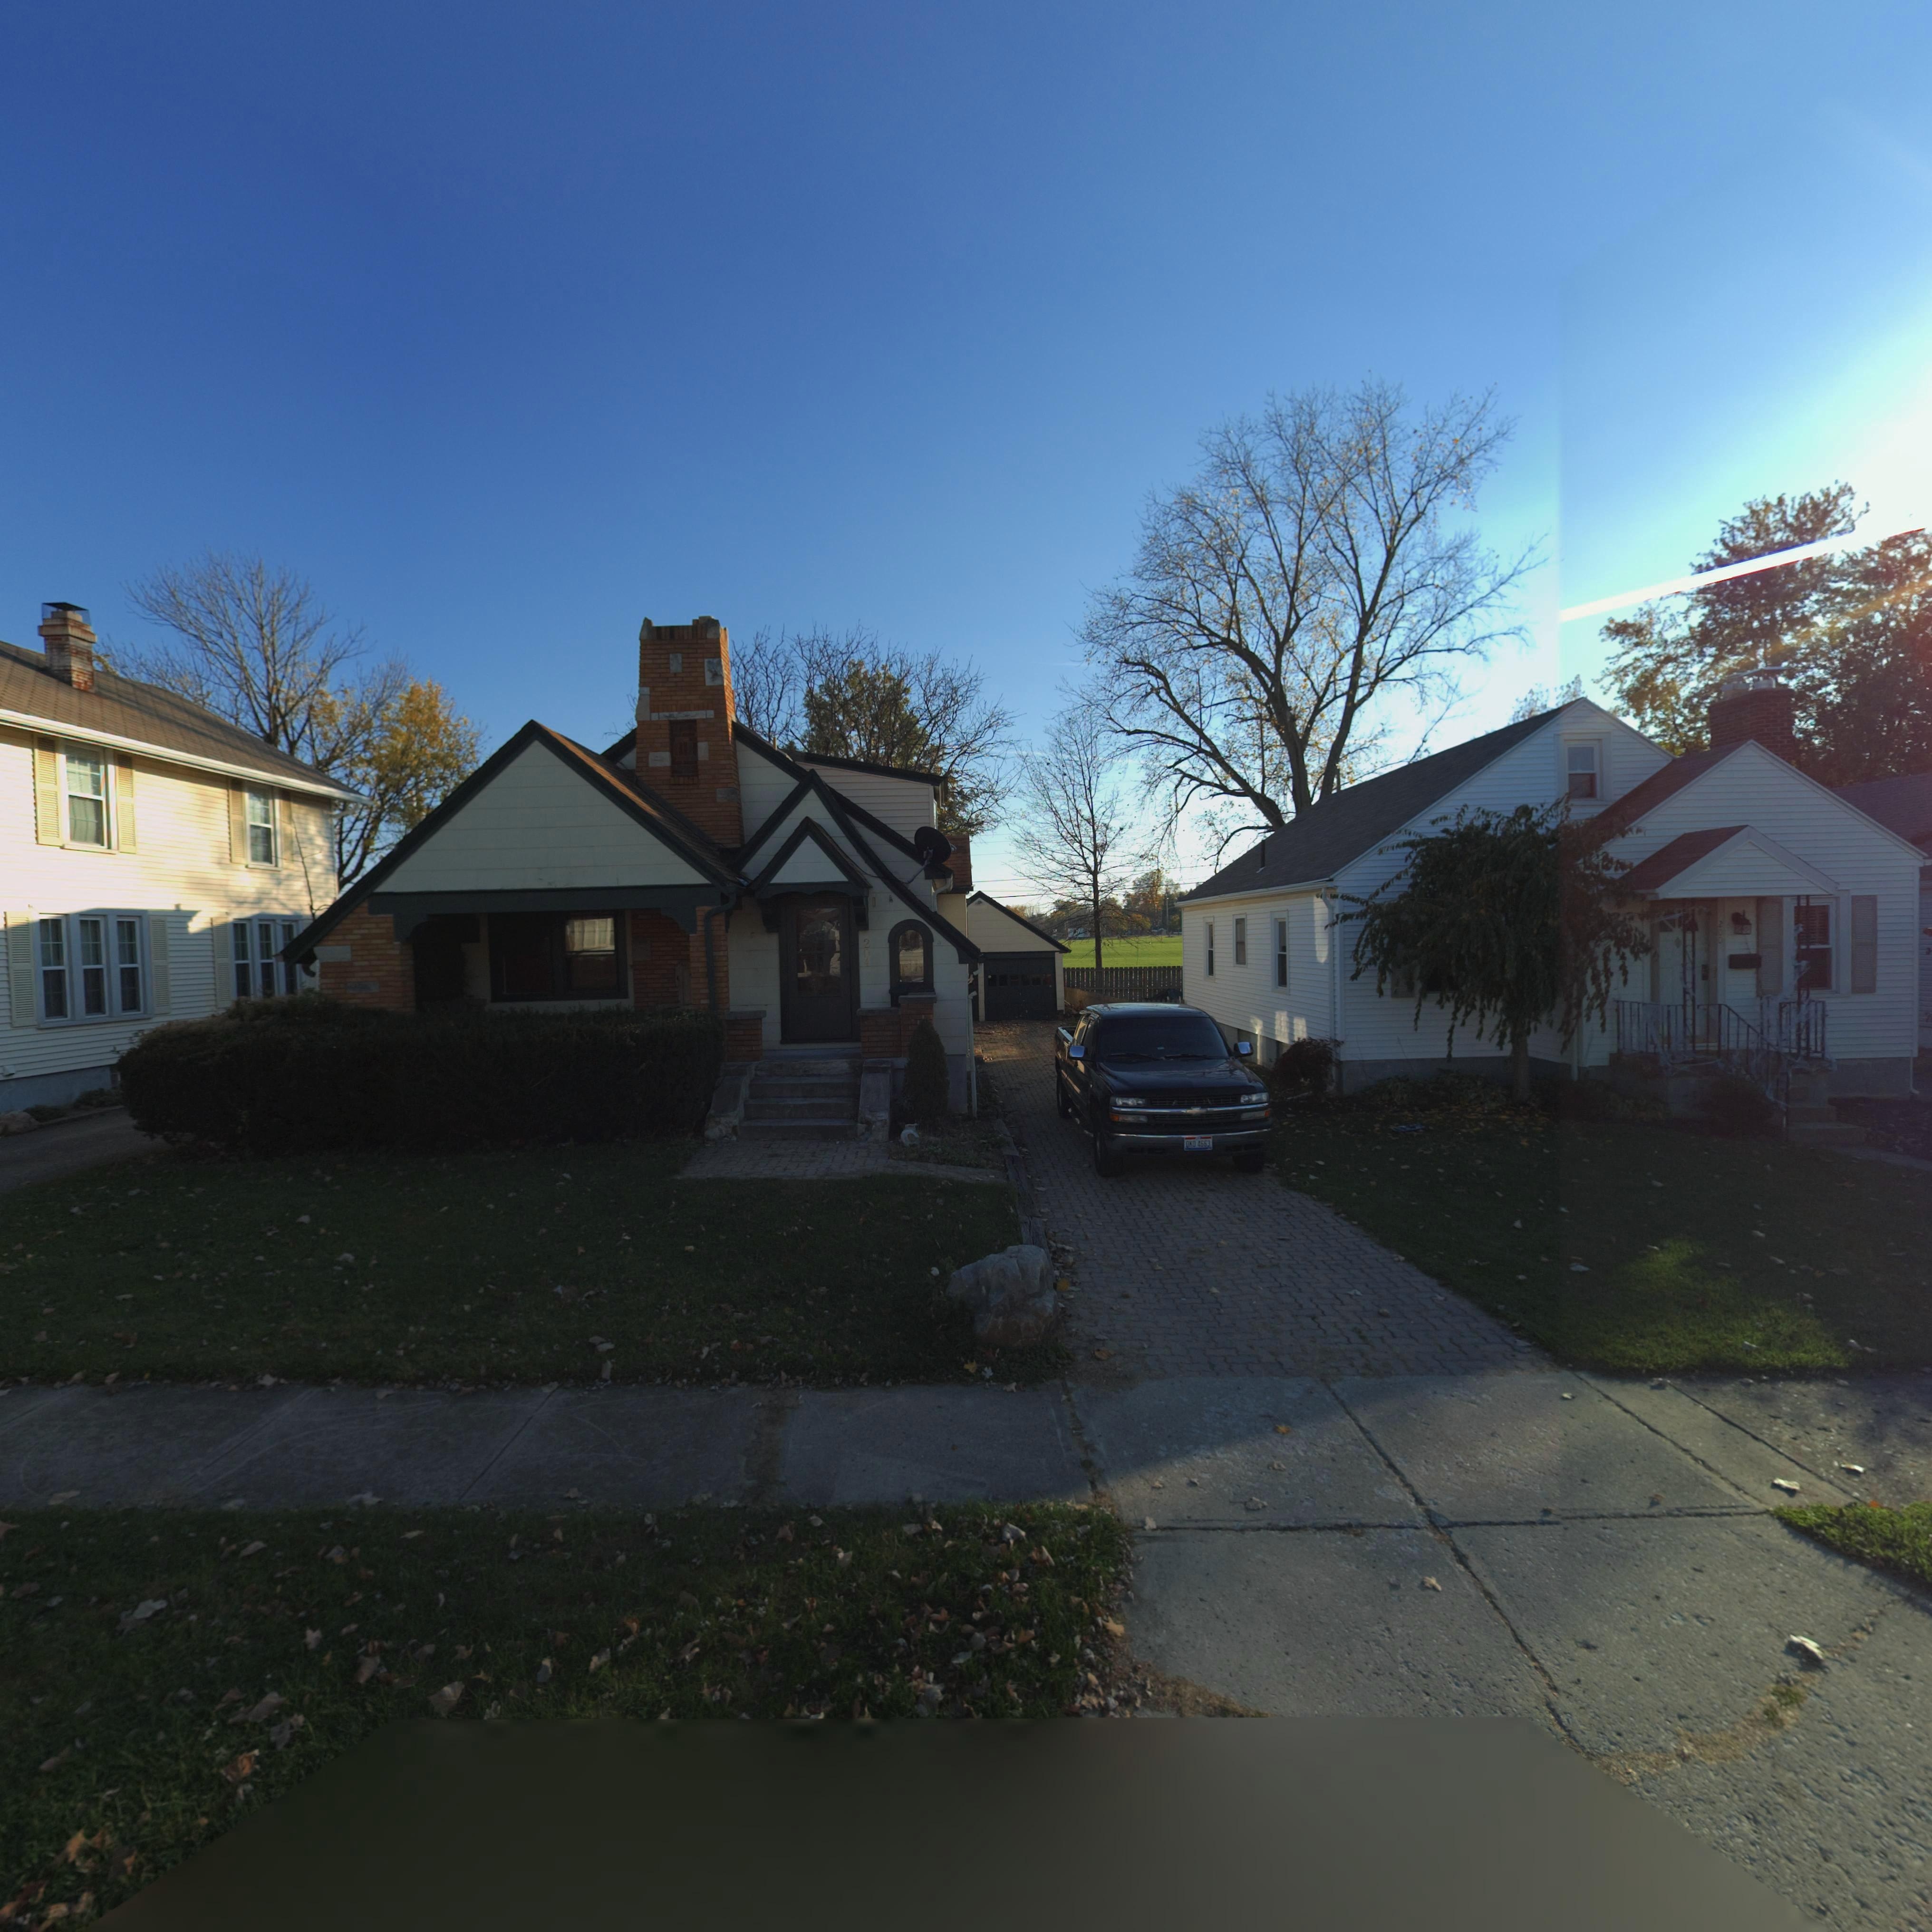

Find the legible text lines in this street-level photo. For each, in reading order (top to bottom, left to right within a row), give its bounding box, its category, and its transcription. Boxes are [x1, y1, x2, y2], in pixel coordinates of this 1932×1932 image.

[1717, 918, 1724, 945] StreetNumber: 200
[862, 937, 871, 968] StreetNumber: 204